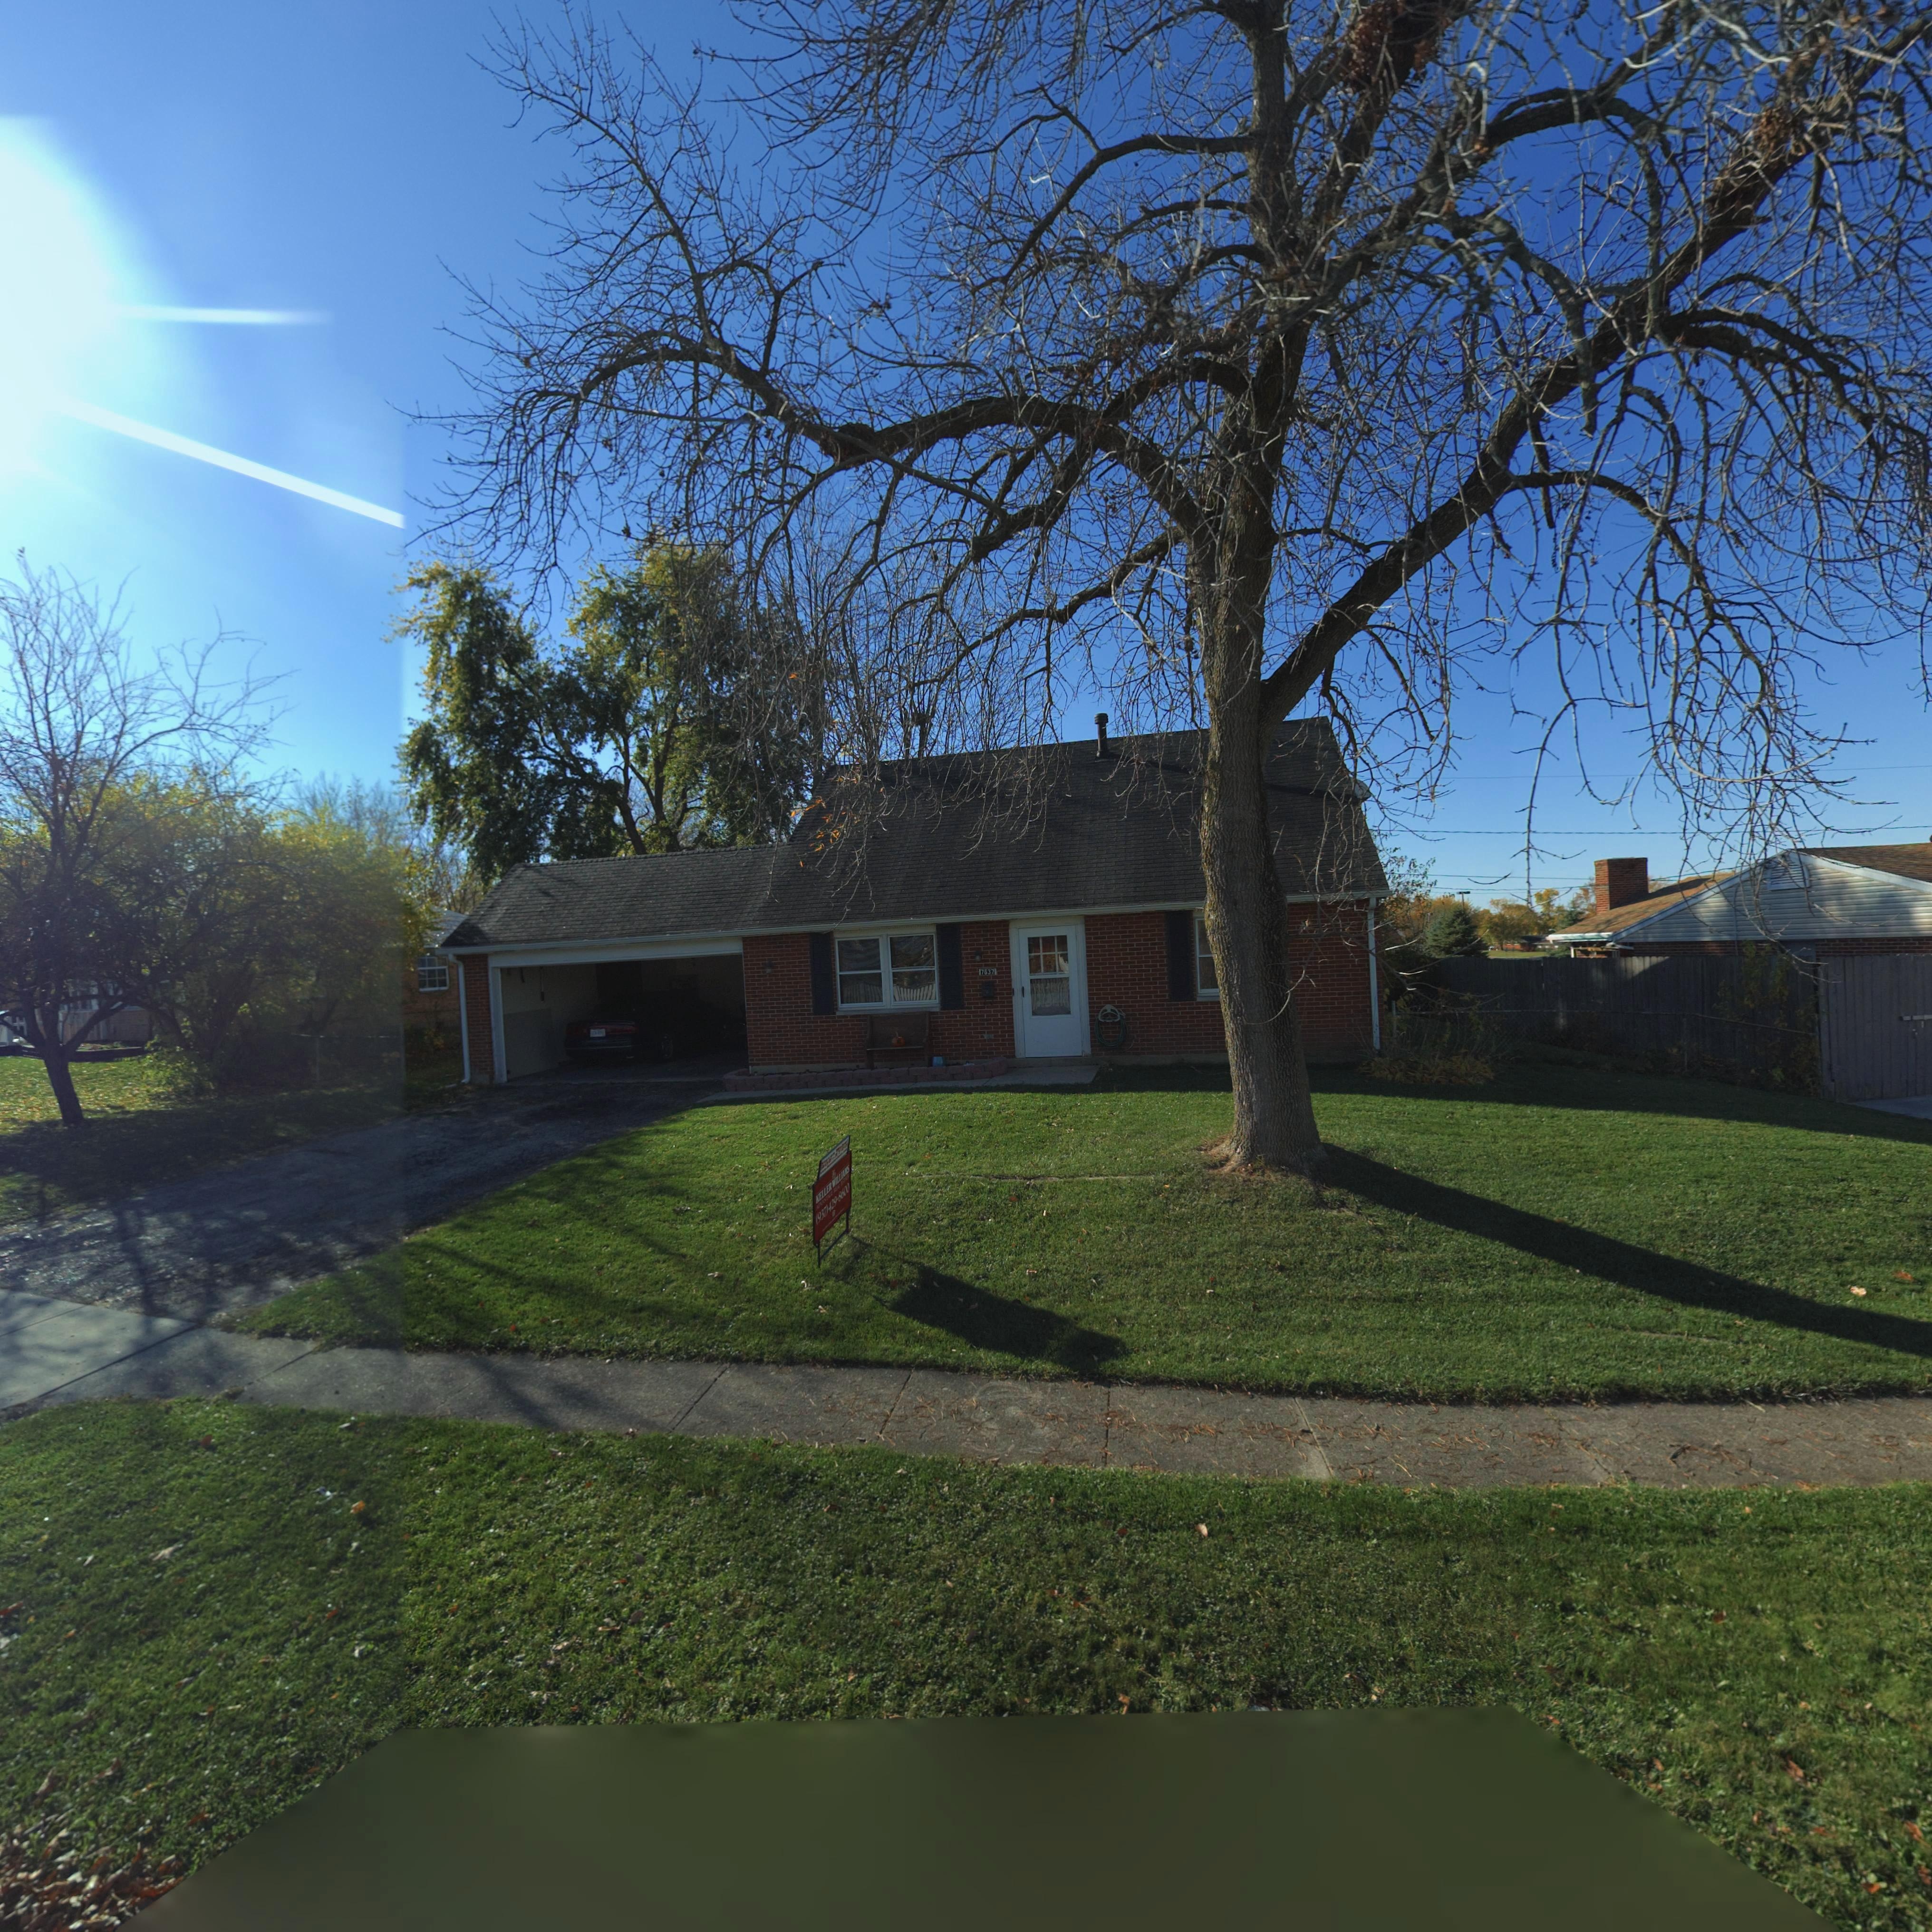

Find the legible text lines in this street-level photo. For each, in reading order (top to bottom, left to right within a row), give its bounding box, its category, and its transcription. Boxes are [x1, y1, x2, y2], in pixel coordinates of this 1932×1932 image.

[980, 968, 995, 976] StreetNumber: 7637